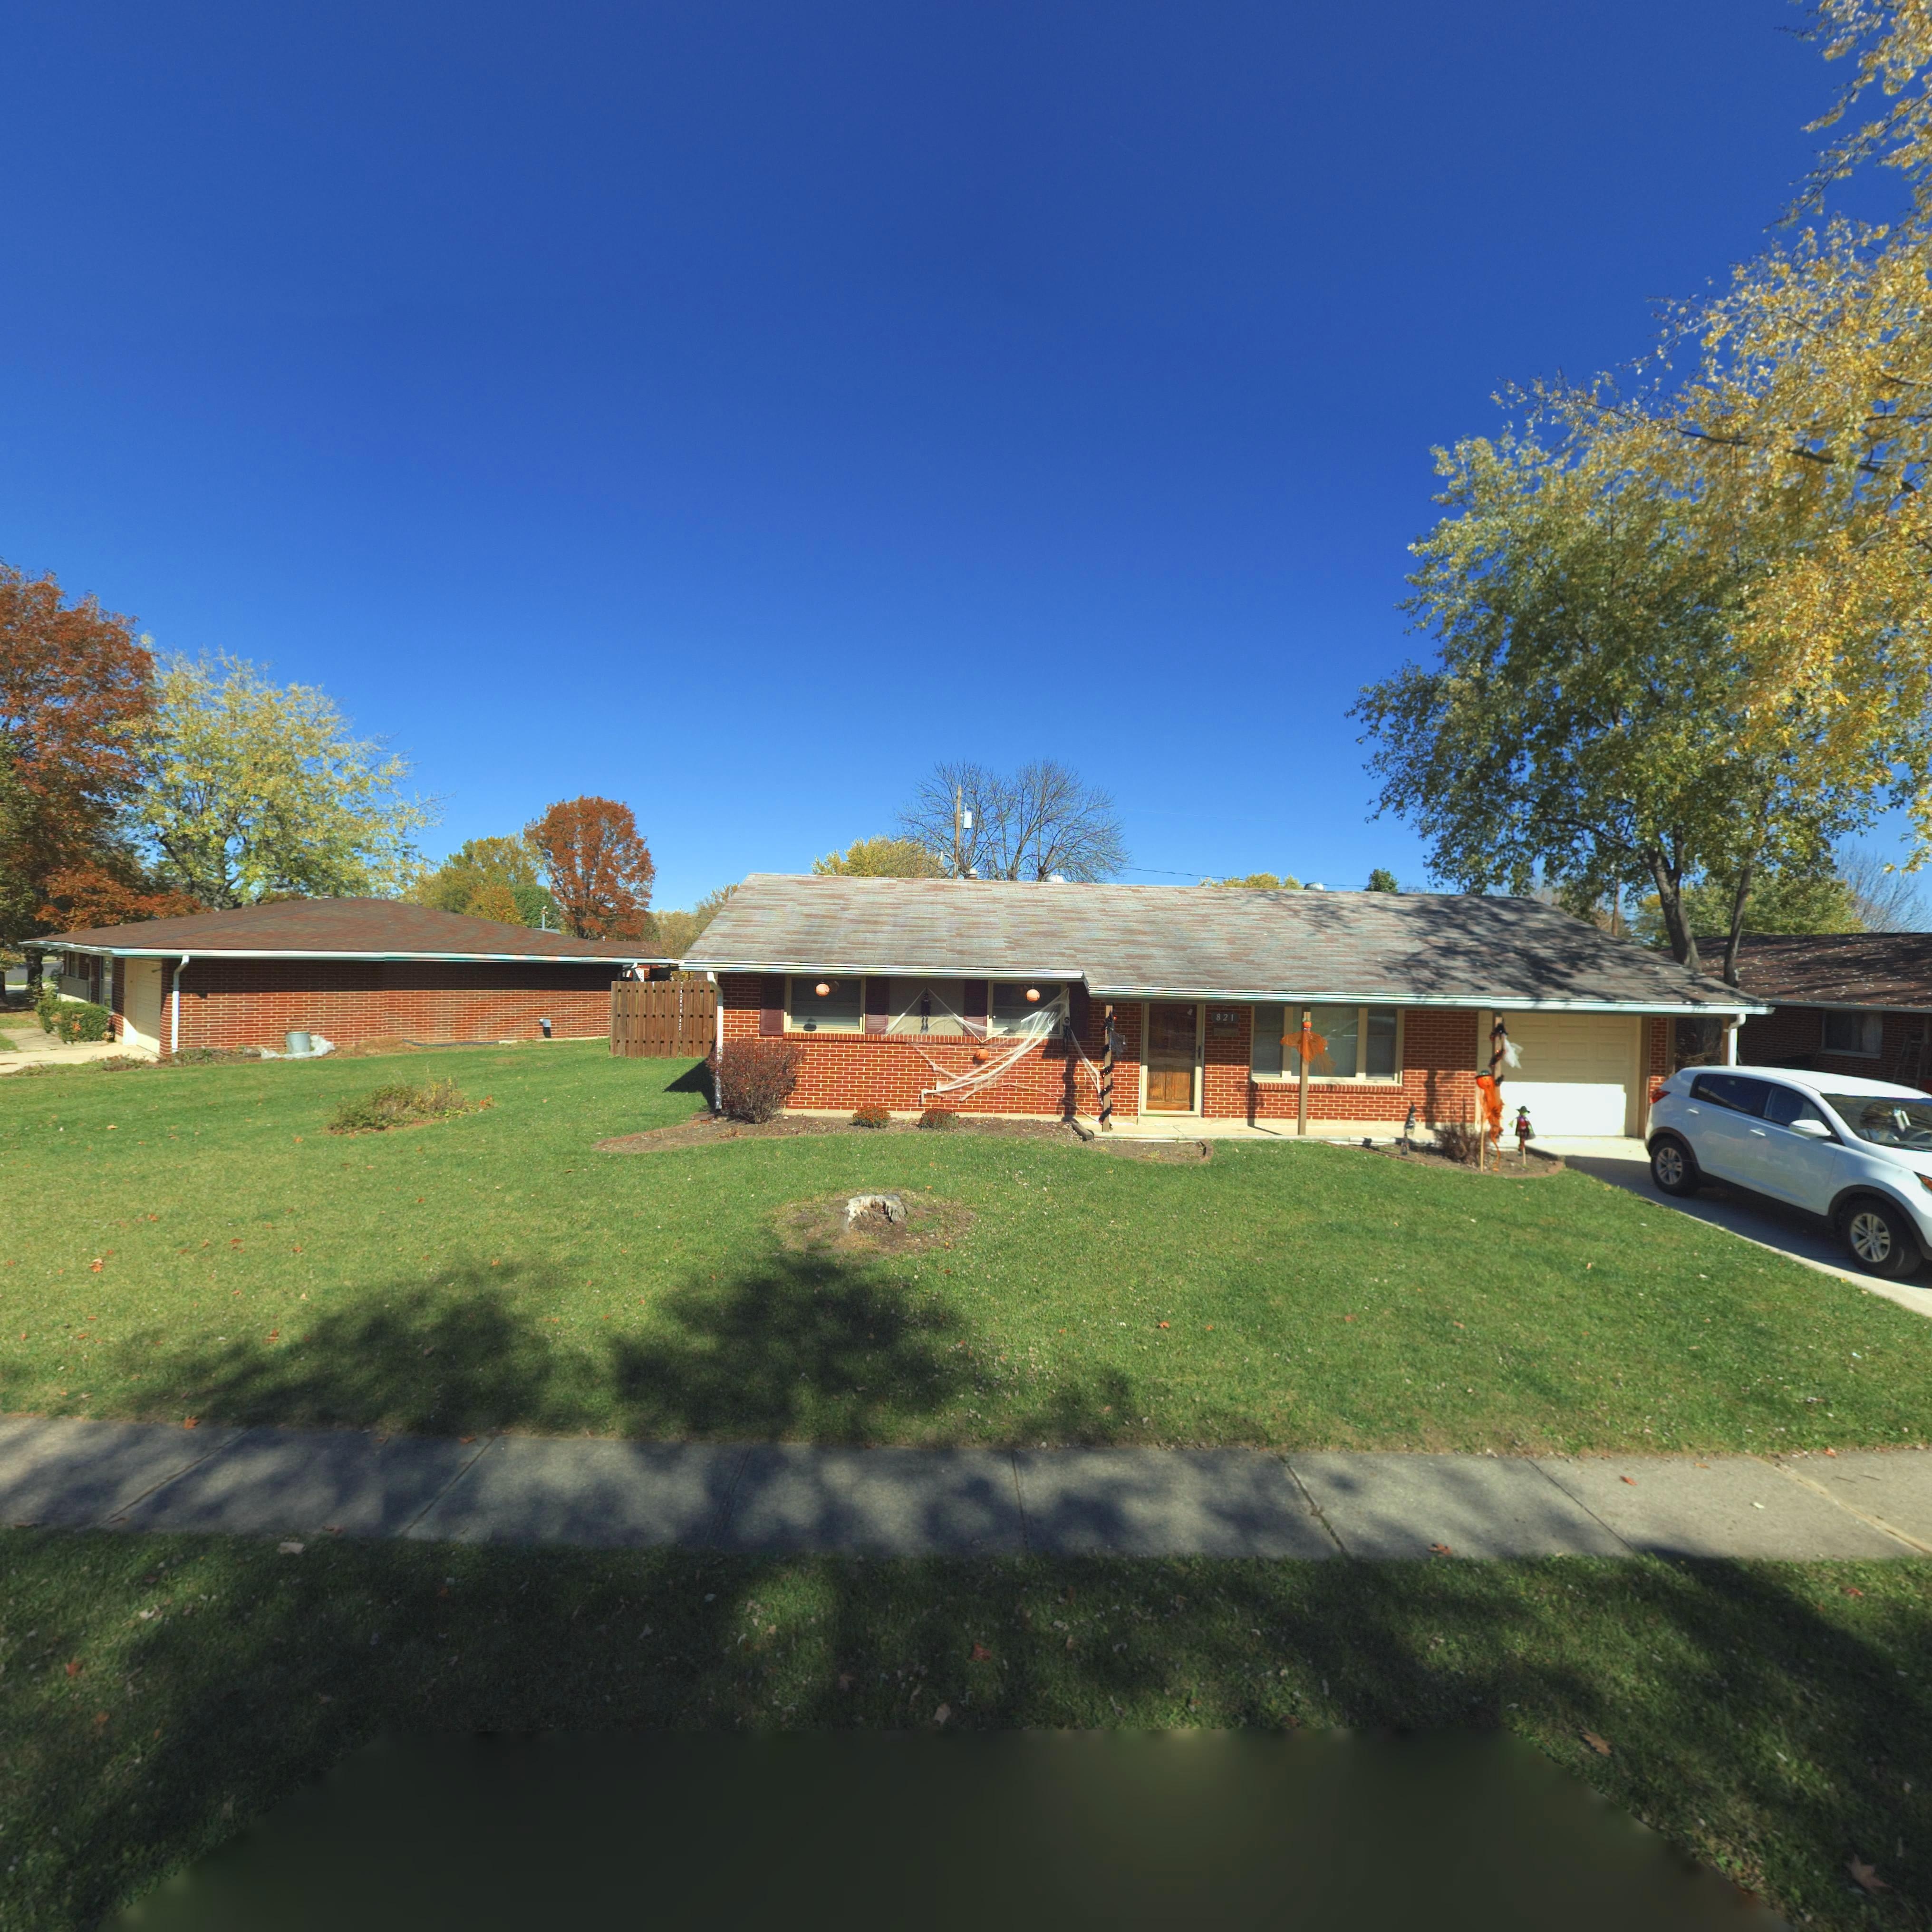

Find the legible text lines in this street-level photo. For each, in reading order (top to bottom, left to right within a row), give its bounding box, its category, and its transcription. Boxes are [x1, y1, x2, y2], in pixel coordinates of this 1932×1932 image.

[1216, 1013, 1234, 1022] StreetNumber: 821